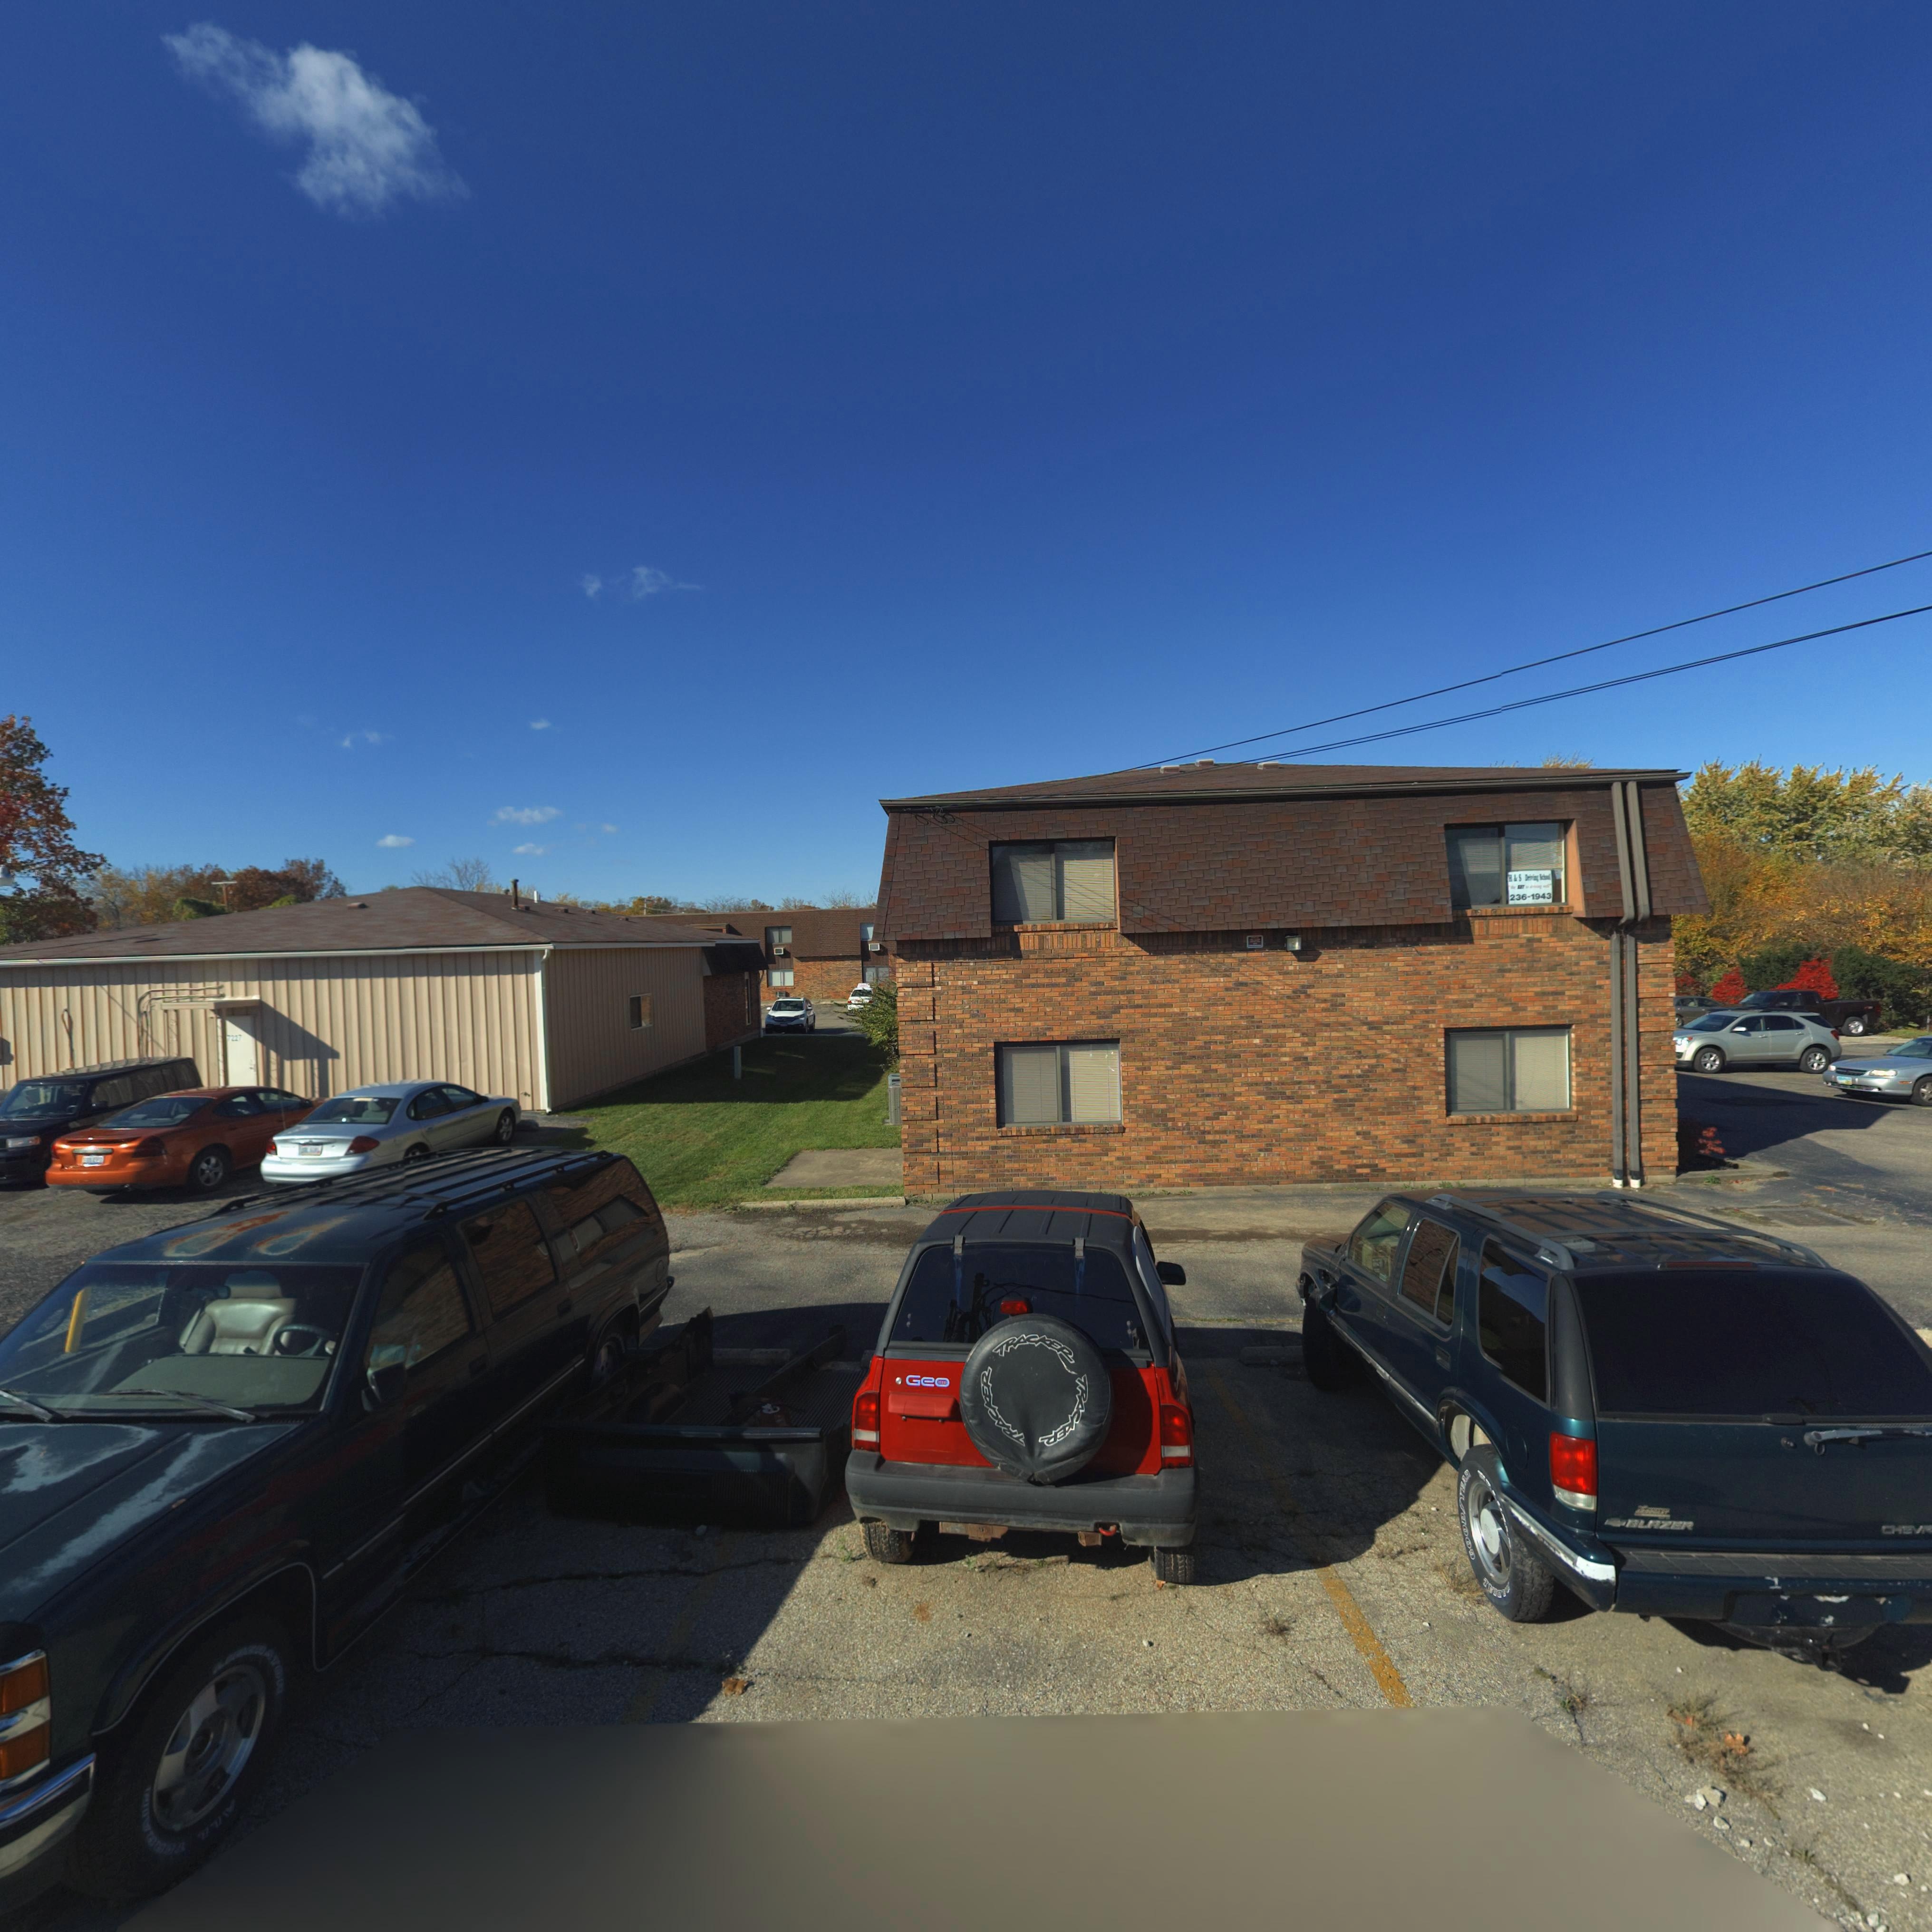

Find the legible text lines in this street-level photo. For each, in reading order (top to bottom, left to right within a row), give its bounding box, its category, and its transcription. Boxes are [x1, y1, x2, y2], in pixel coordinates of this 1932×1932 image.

[226, 1034, 243, 1042] StreetNumber: 7227